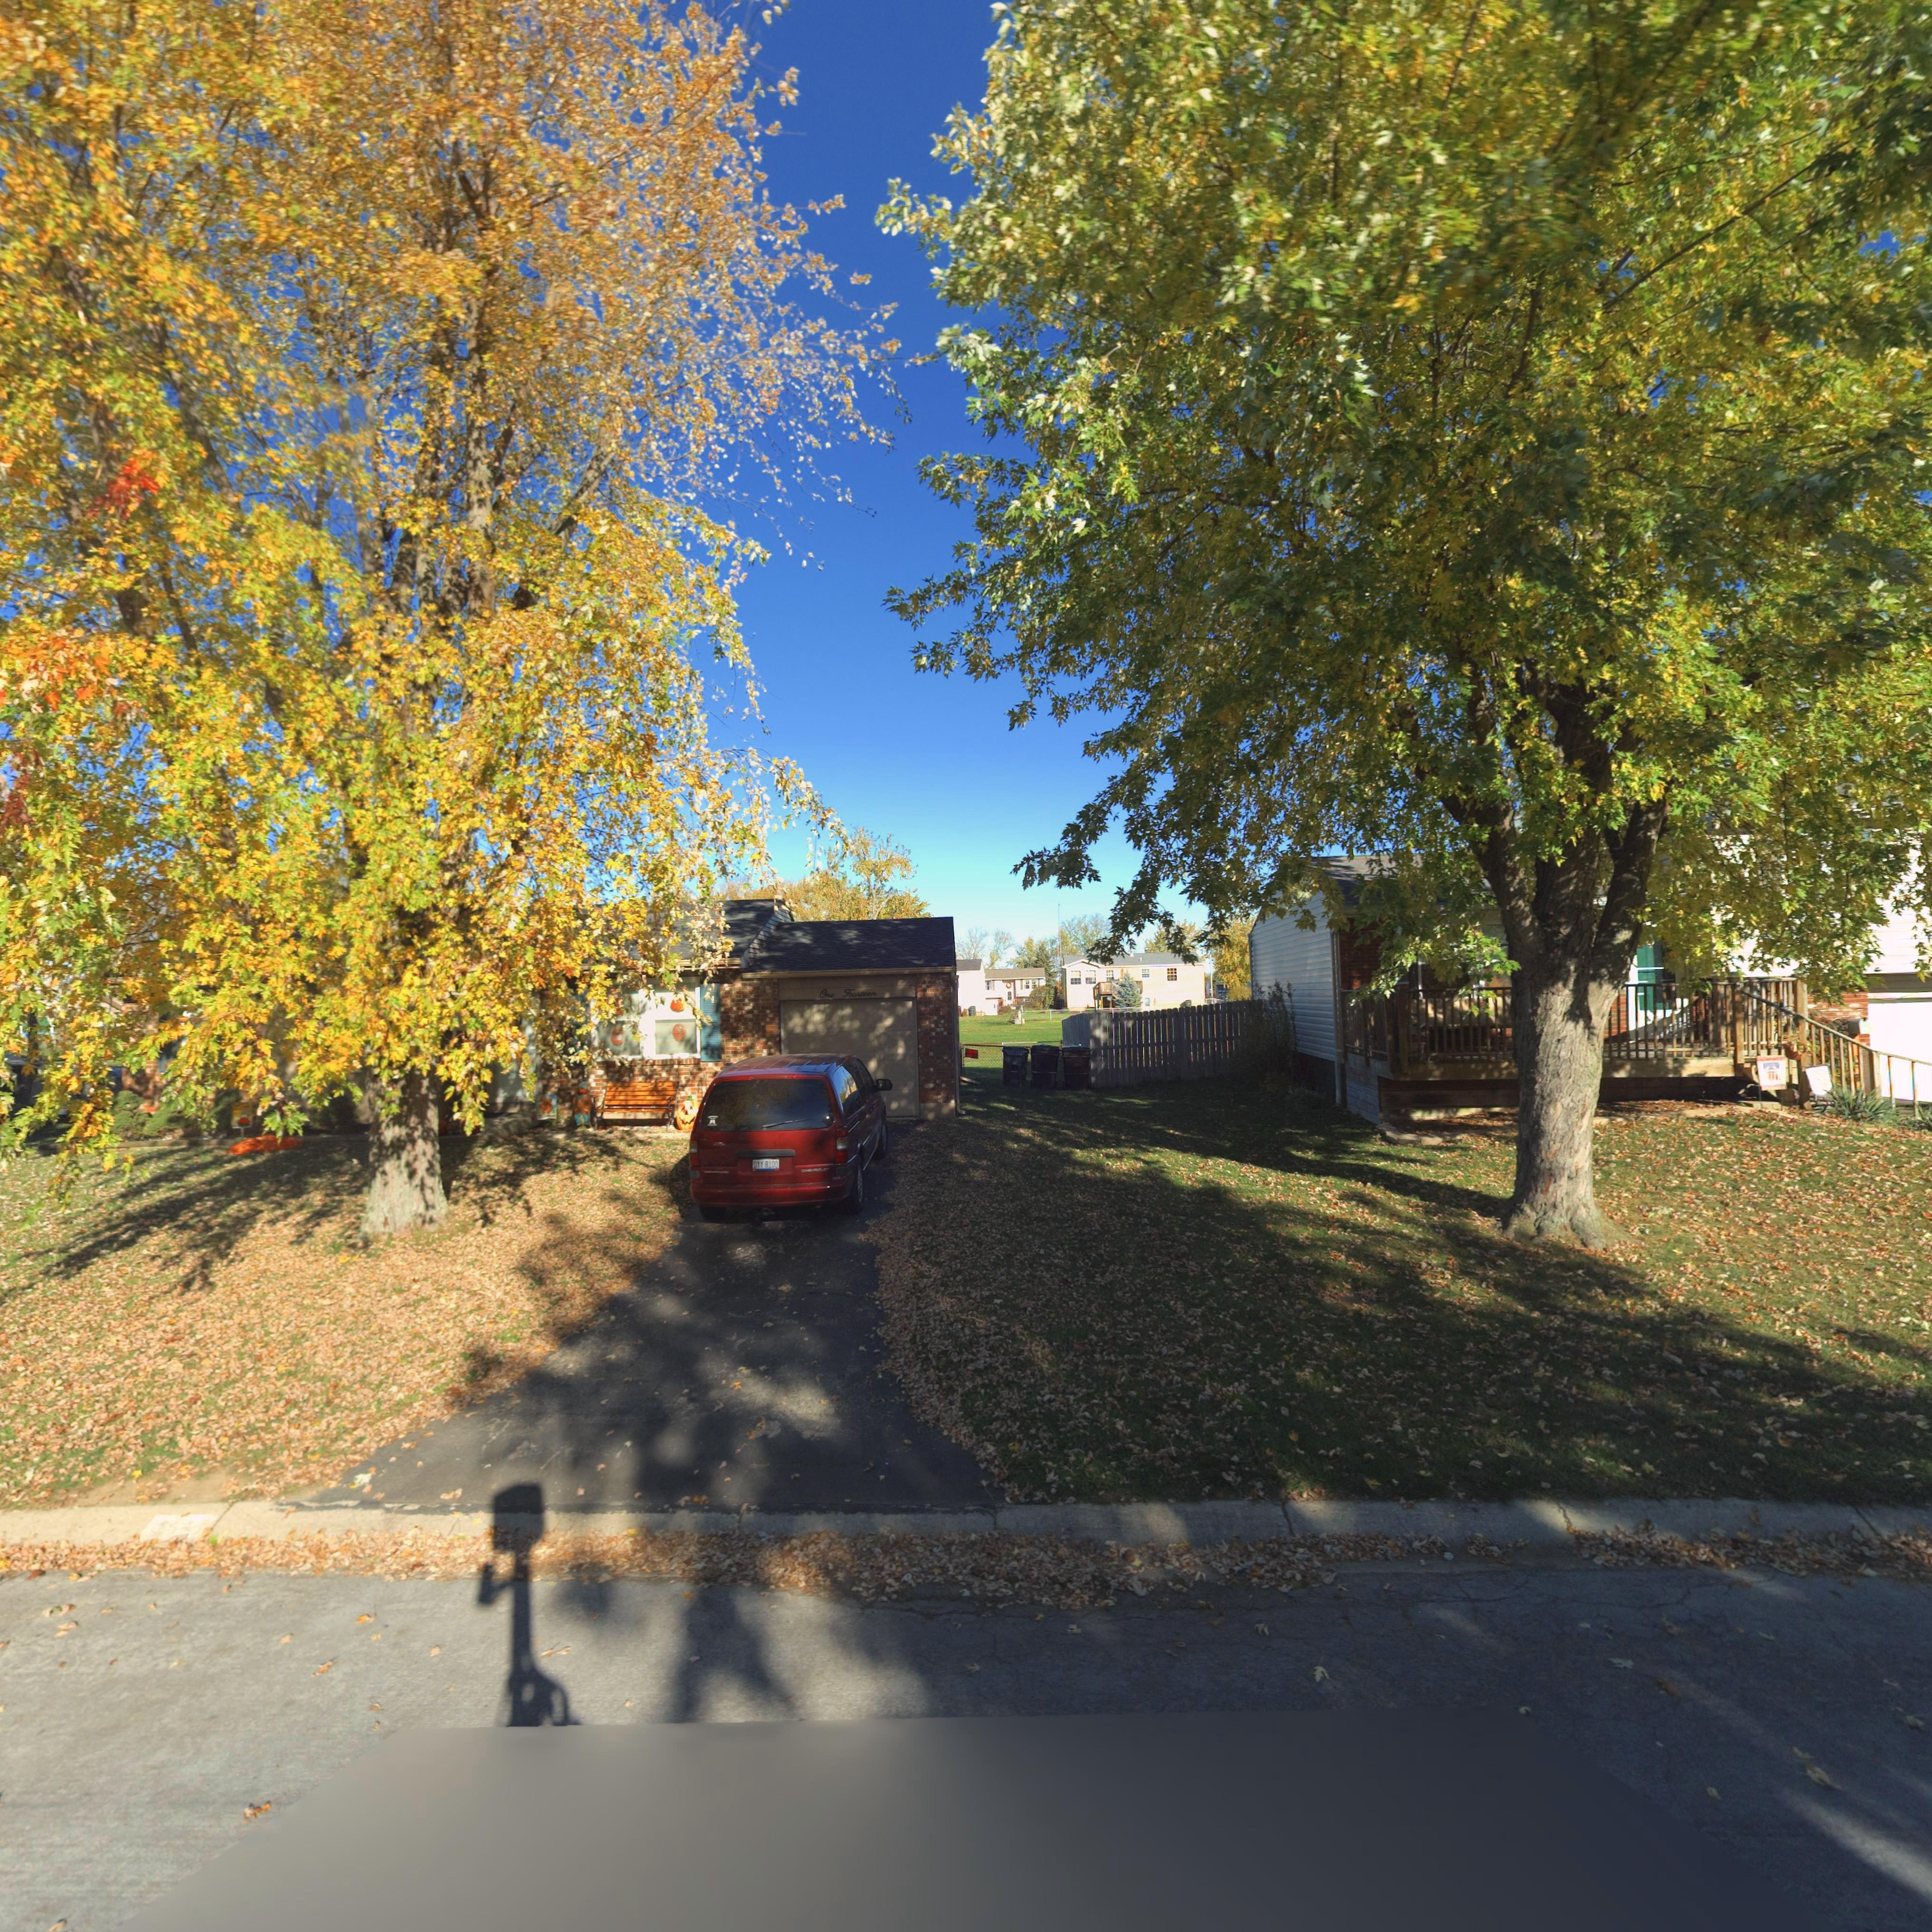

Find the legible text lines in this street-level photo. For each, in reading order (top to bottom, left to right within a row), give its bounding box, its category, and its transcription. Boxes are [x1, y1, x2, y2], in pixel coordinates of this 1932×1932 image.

[819, 988, 878, 998] StreetNumber: One Fourteen